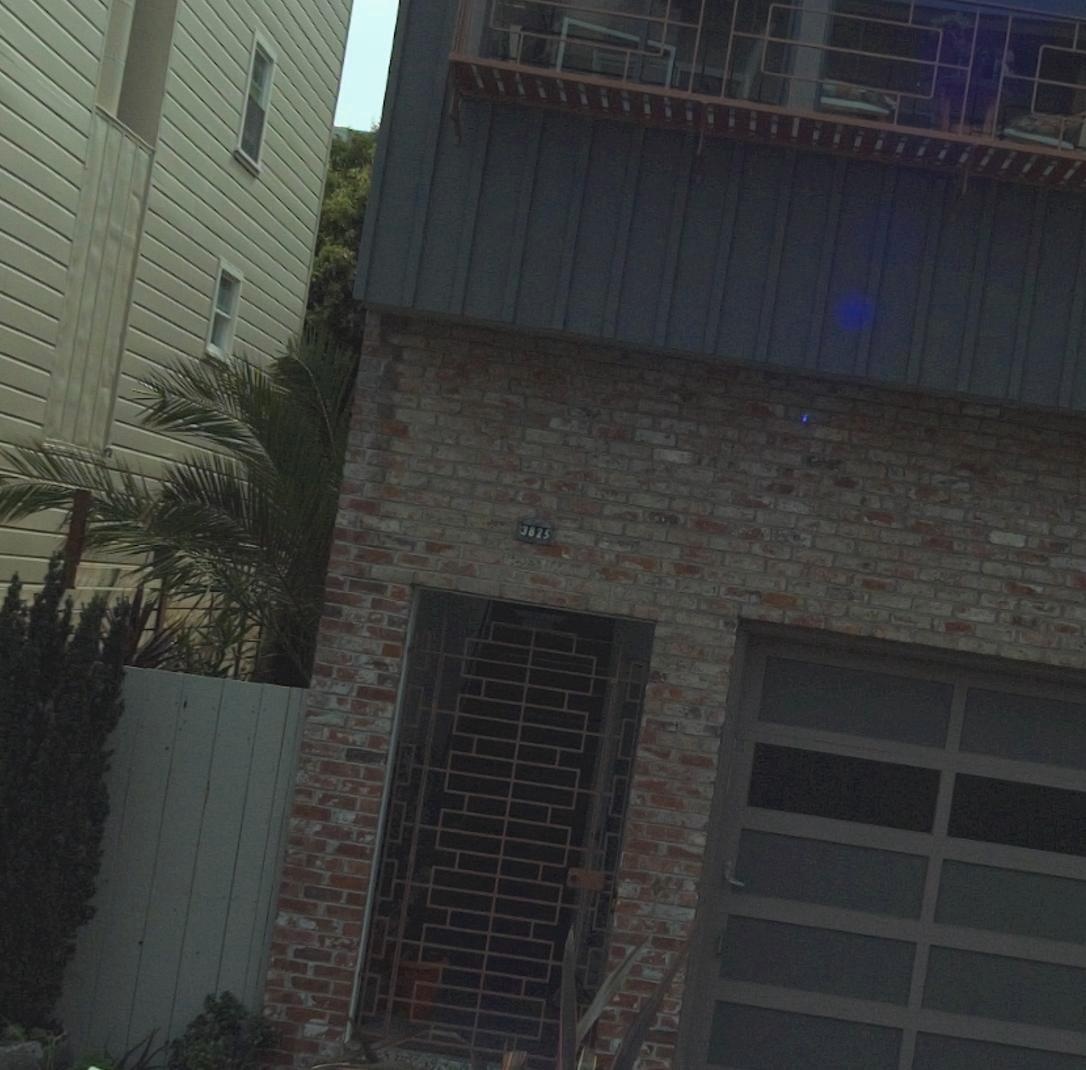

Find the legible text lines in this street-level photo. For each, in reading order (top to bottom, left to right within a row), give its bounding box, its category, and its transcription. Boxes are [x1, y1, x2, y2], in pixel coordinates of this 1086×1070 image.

[519, 525, 552, 541] StreetNumber: 3825